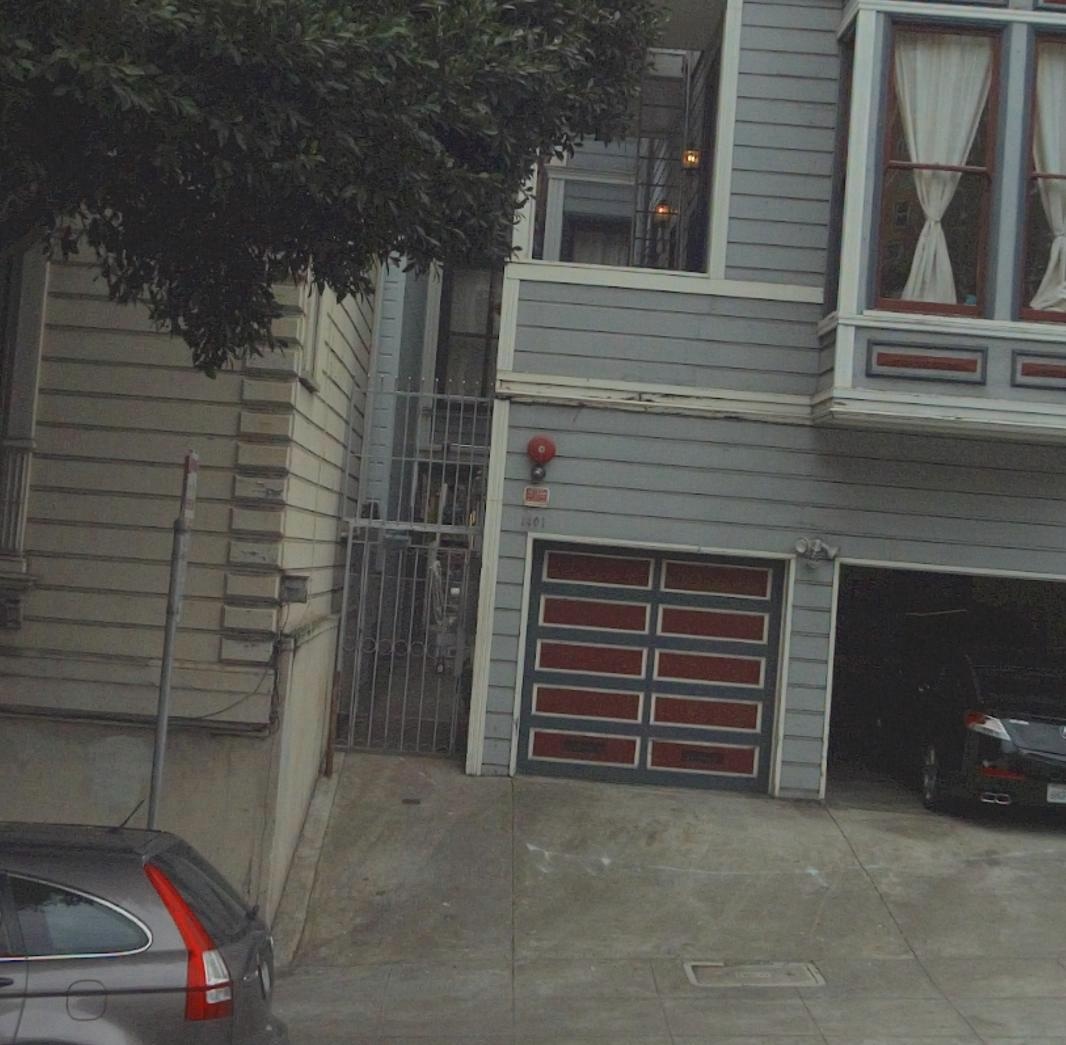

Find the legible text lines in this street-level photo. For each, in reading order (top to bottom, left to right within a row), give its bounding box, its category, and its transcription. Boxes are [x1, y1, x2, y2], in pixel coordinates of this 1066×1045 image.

[520, 514, 546, 530] StreetNumber: 1401